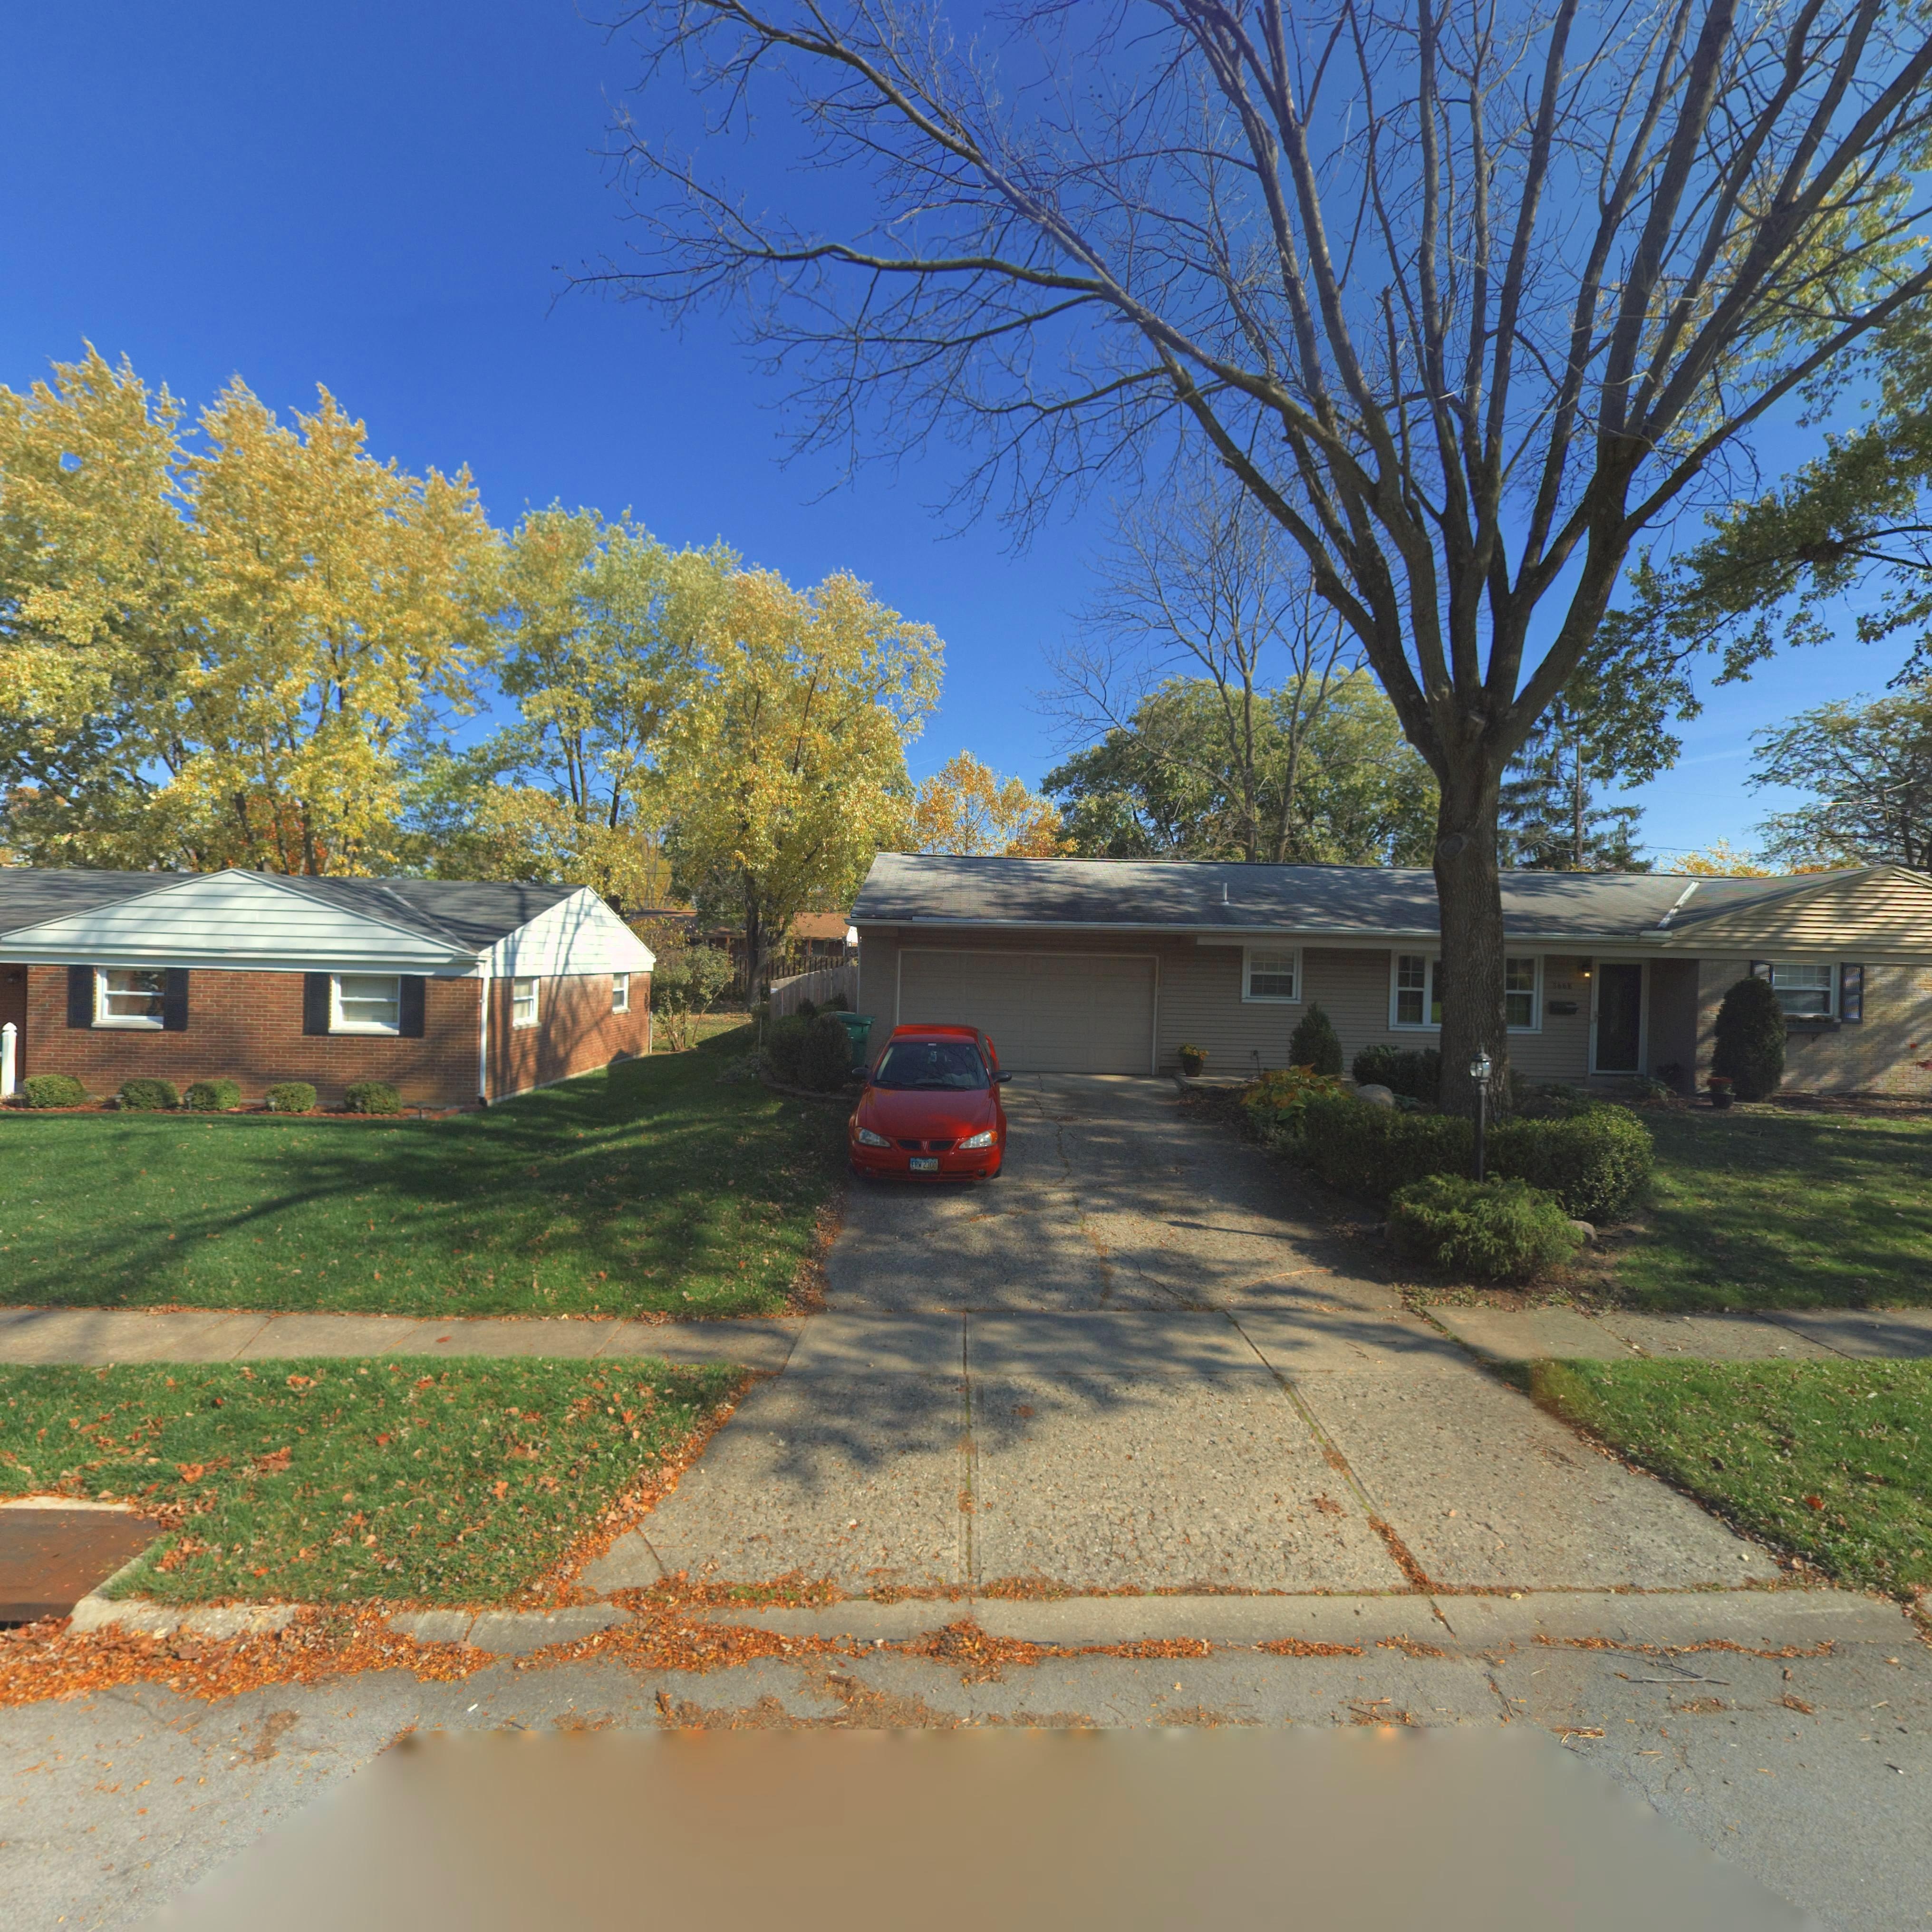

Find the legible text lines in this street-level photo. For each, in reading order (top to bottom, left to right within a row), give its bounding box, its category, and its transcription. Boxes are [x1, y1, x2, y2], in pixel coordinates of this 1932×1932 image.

[1552, 981, 1574, 990] StreetNumber: 3668
[911, 1159, 937, 1170] None: ERW 2300